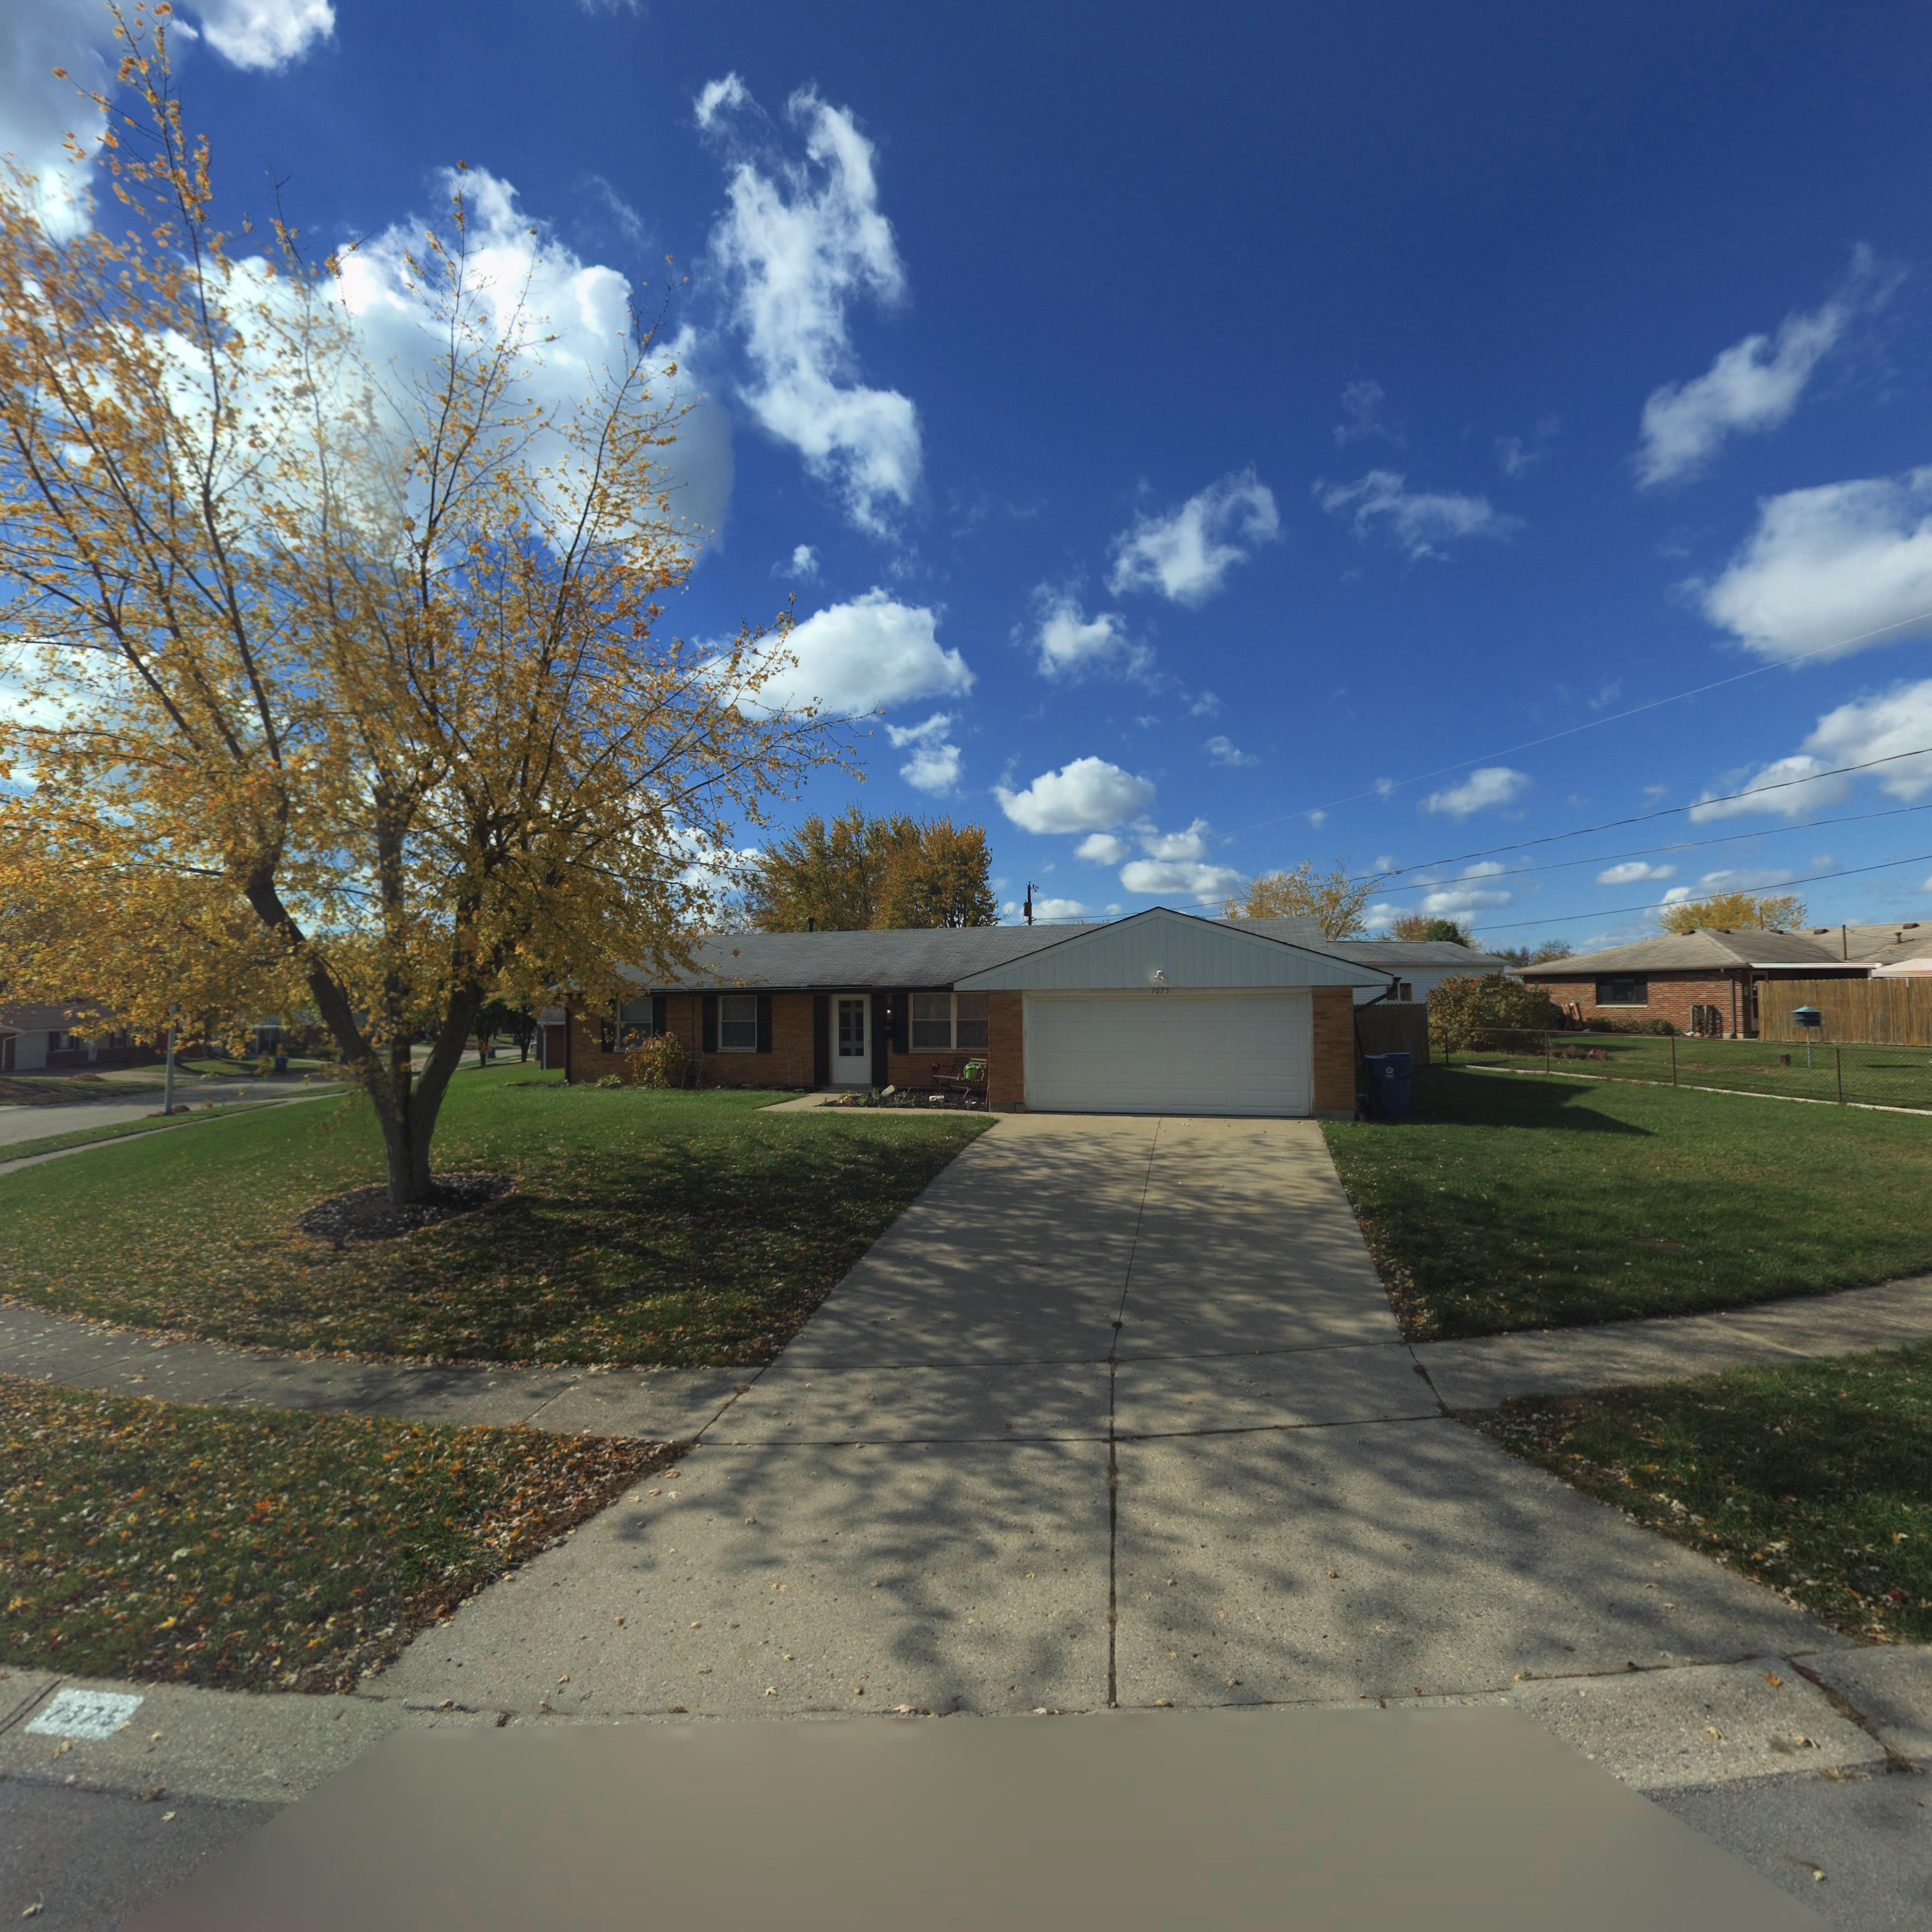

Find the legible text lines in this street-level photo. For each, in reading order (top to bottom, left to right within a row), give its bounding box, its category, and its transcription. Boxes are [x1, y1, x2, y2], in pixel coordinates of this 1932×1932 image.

[1150, 987, 1170, 994] StreetNumber: 7675
[39, 1699, 130, 1729] StreetNumber: 7*75